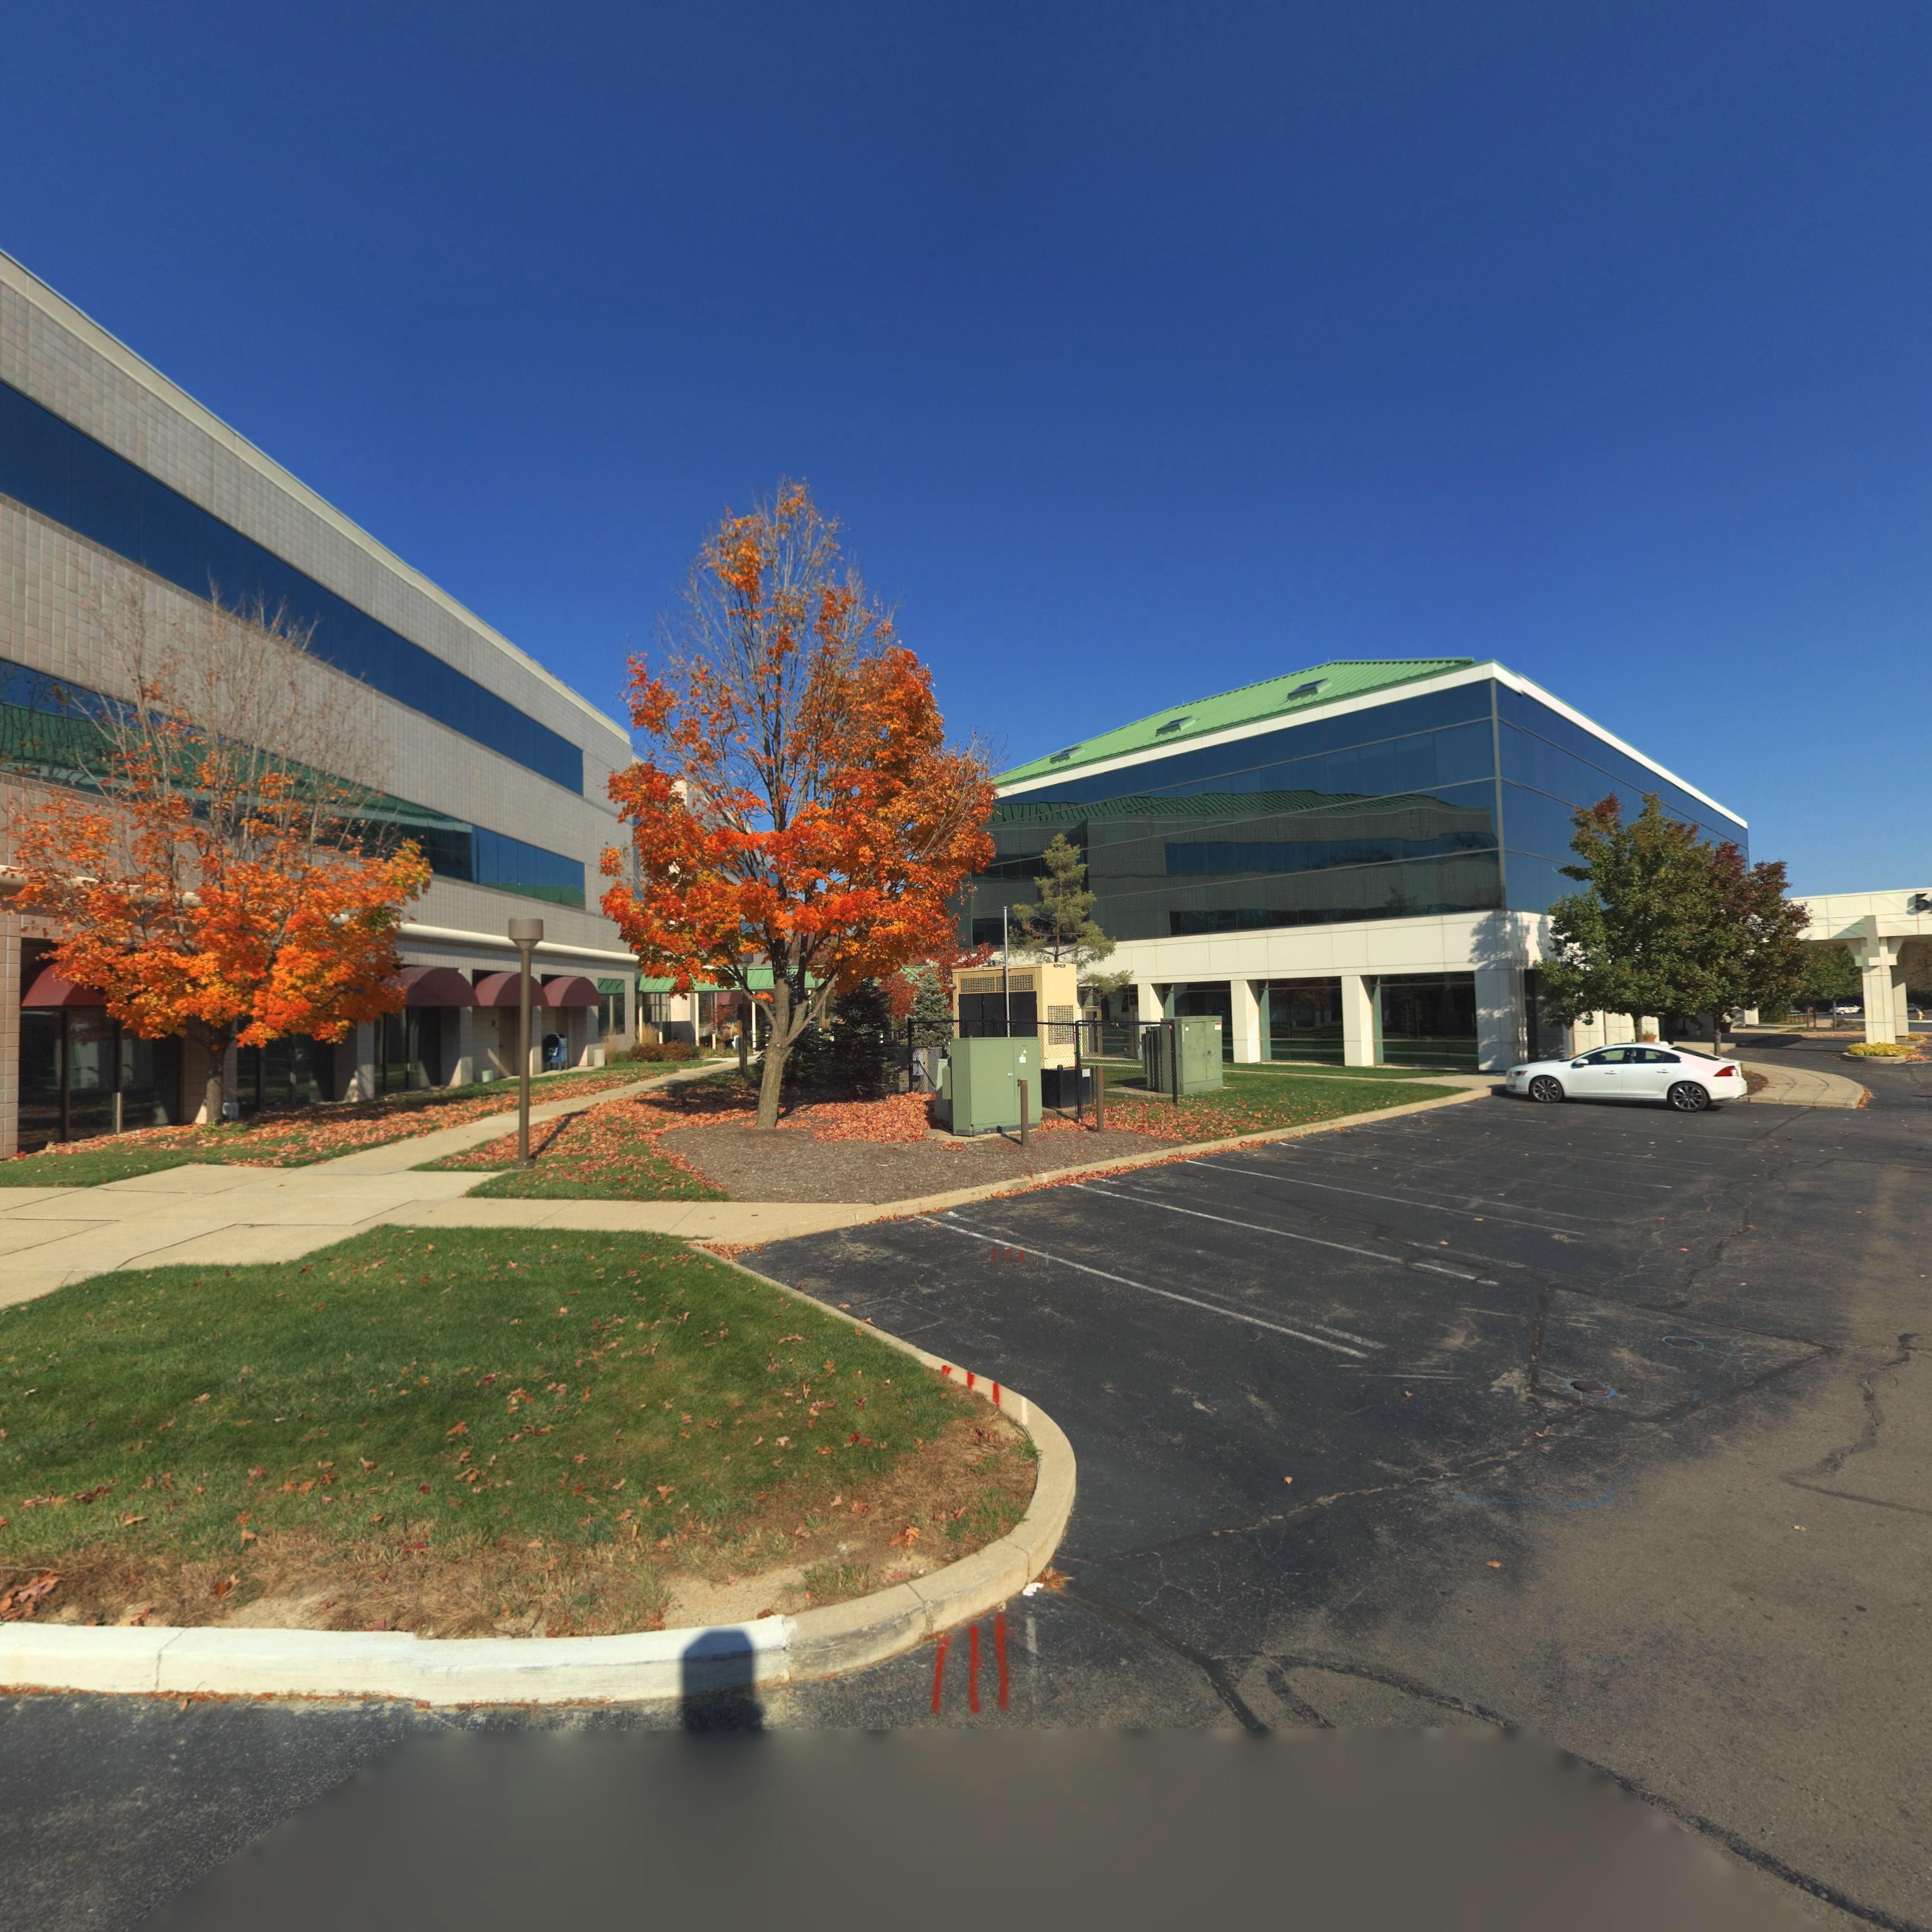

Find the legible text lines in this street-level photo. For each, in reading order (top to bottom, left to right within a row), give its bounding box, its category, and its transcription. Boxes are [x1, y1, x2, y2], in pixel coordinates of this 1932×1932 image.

[1914, 892, 1929, 911] StreetNumber: 5